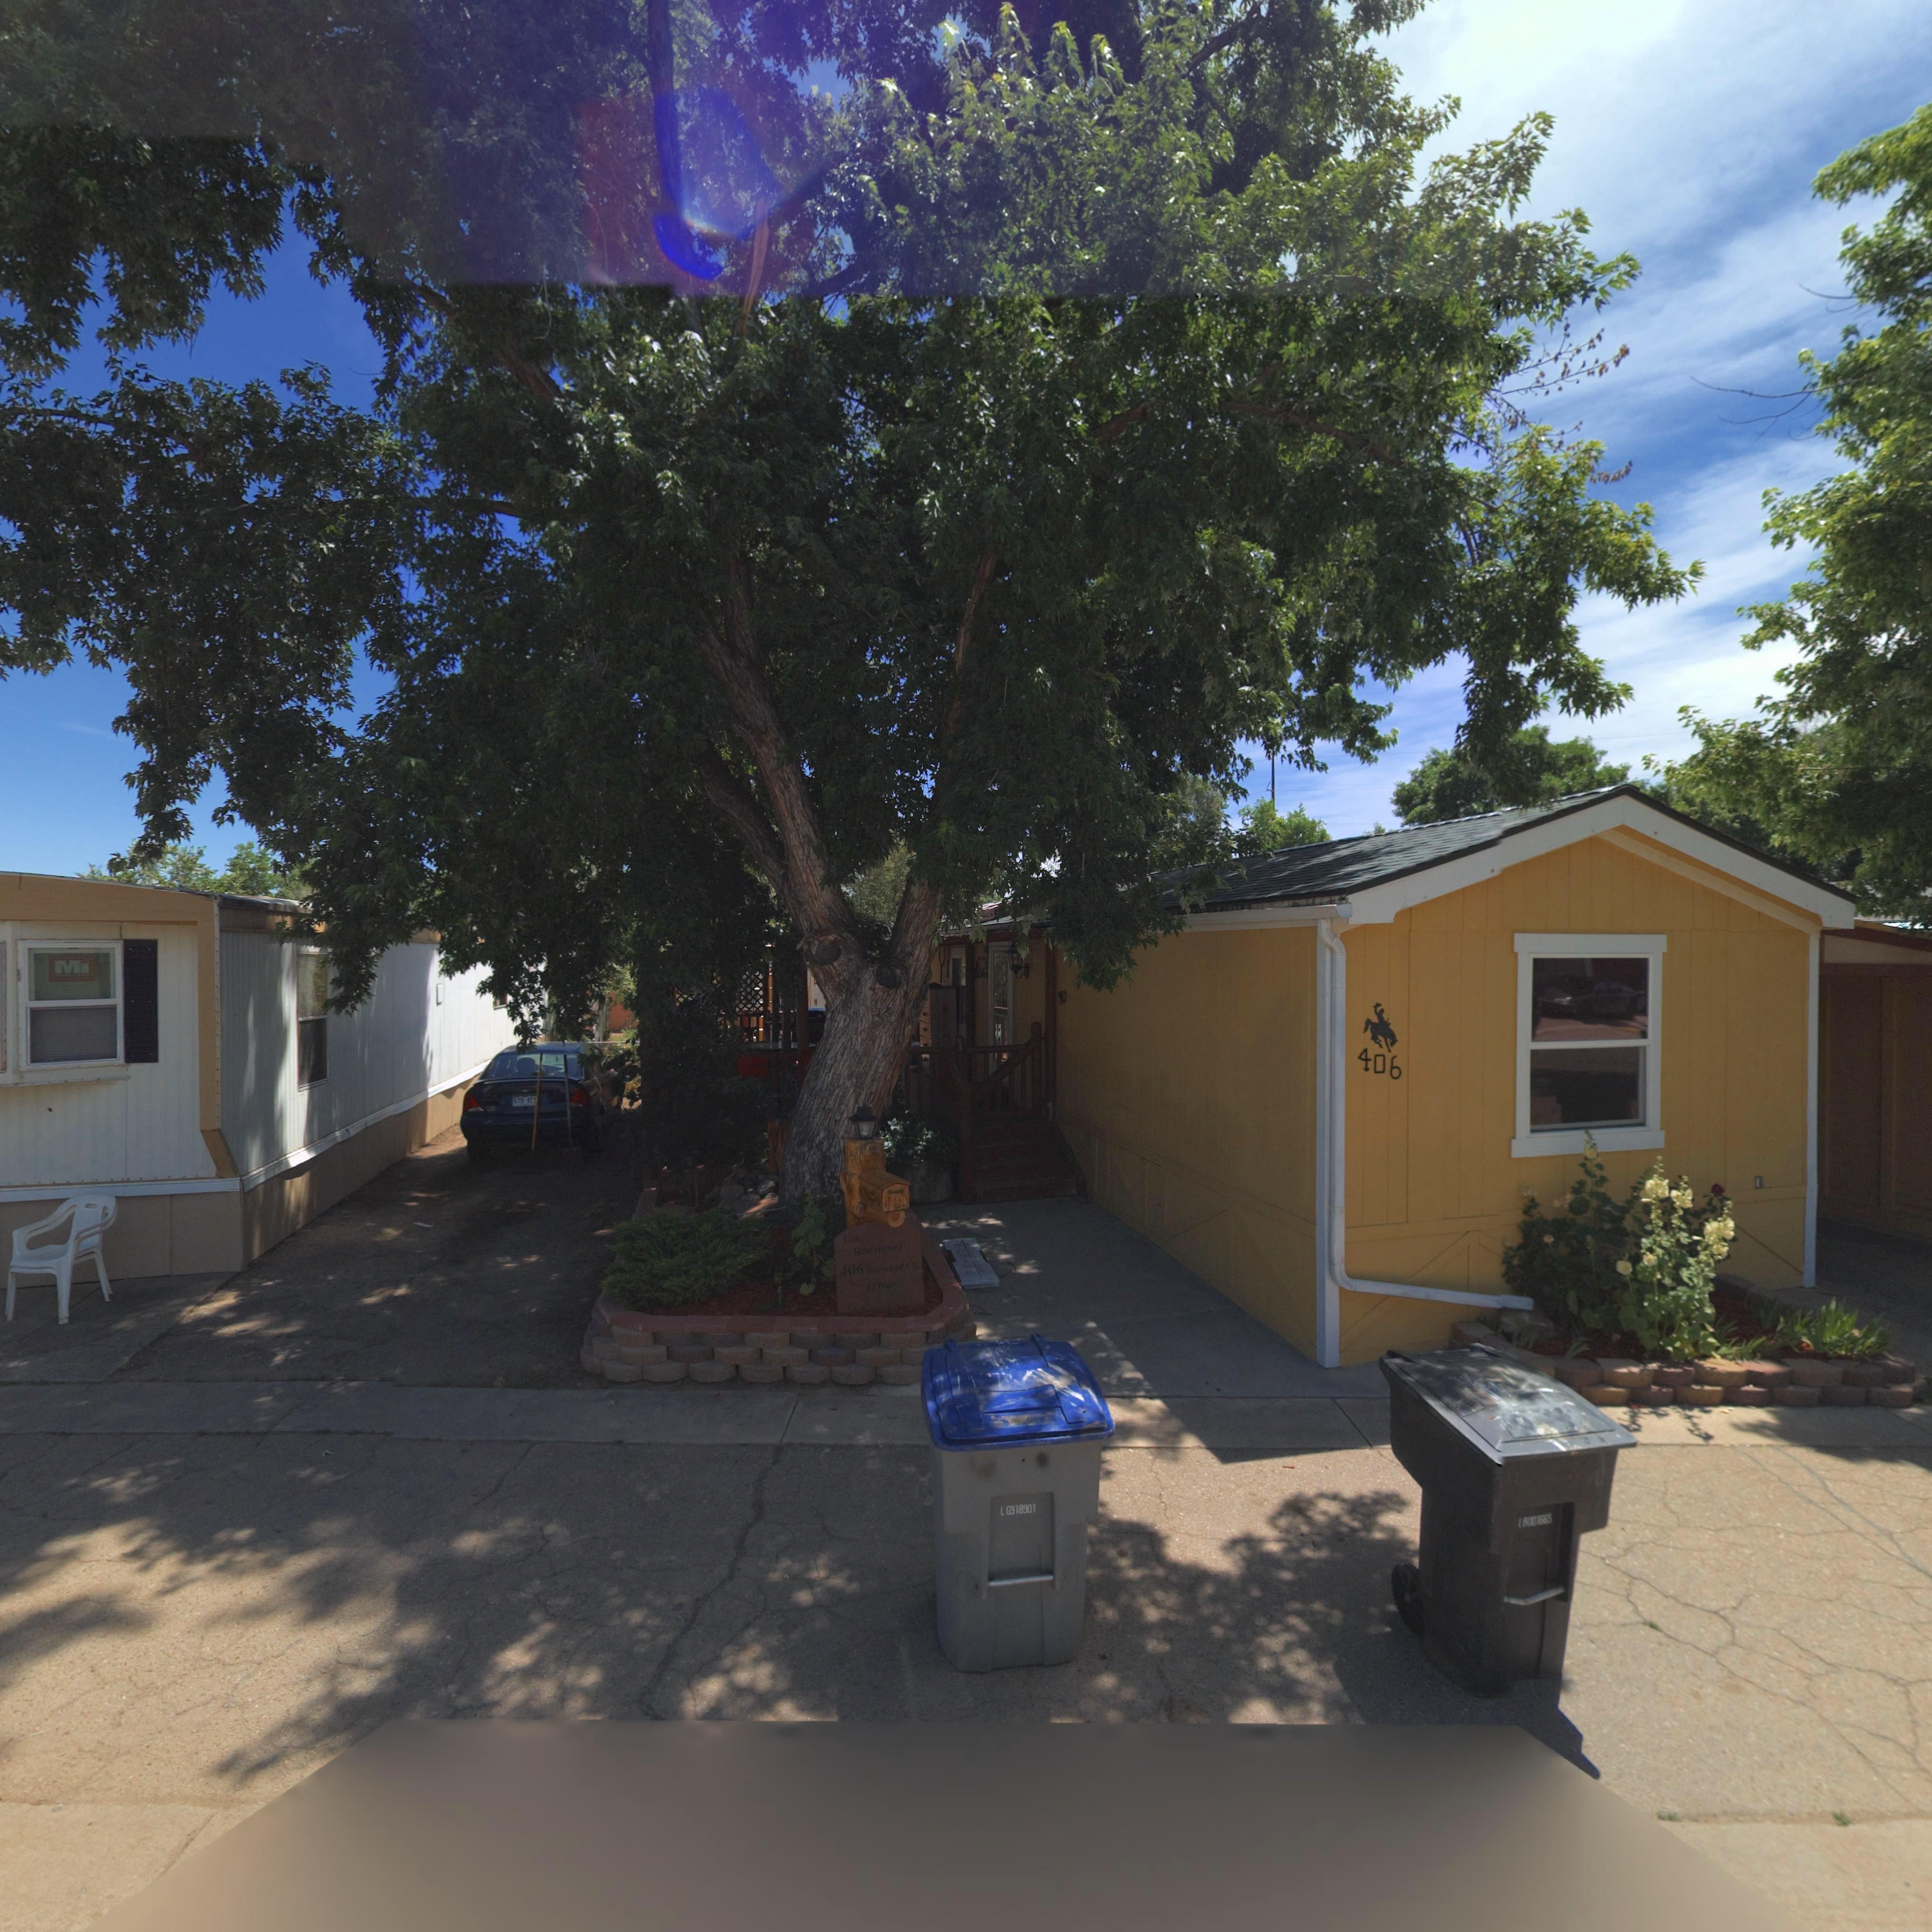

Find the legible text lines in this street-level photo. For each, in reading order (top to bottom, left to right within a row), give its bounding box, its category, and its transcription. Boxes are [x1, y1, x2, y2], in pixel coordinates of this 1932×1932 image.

[1357, 1047, 1402, 1080] StreetNumber: 406
[839, 1263, 864, 1277] StreetNumber: 406
[868, 1261, 916, 1275] StreetName: *ar***d C*